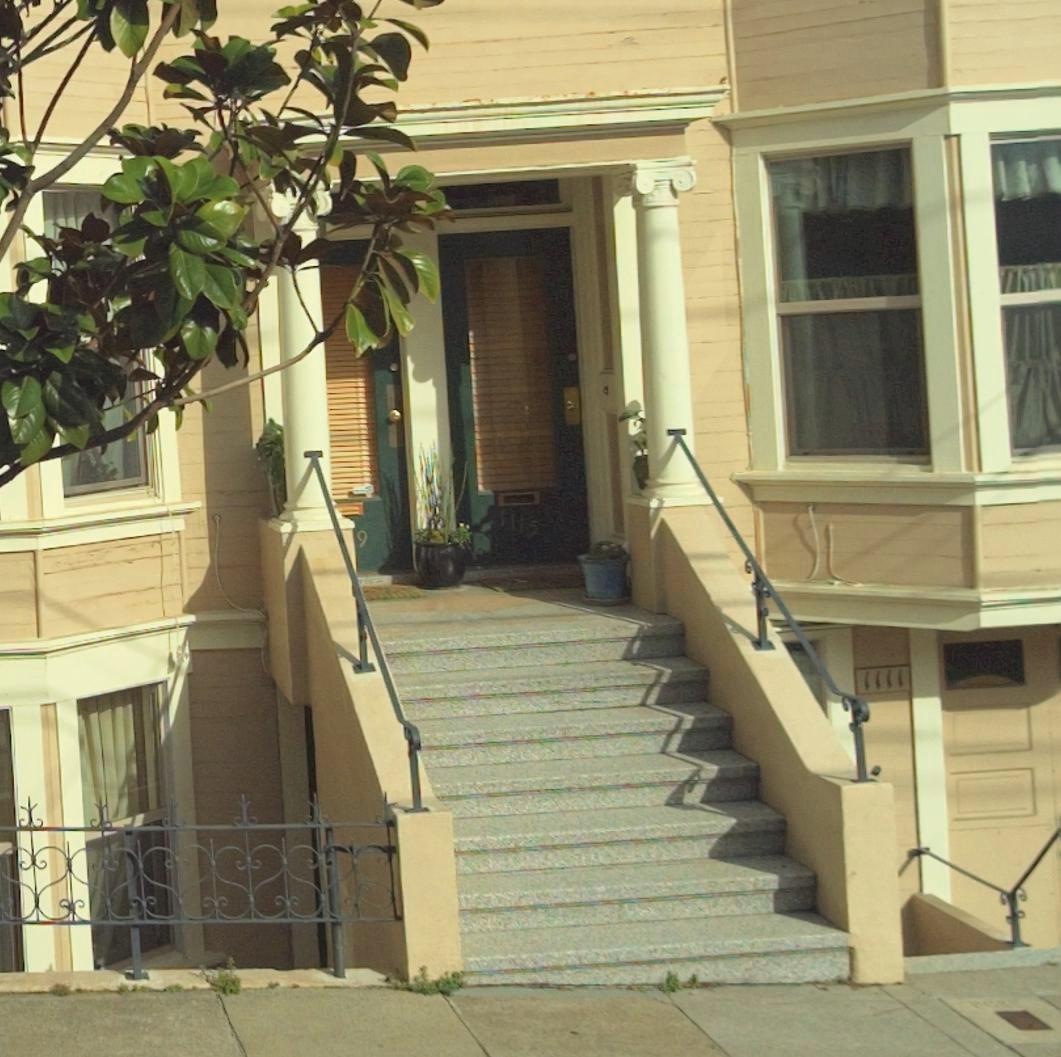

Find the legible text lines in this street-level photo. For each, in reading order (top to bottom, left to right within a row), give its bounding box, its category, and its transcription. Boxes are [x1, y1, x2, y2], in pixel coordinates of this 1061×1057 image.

[499, 508, 539, 540] StreetNumber: 1115
[356, 529, 369, 548] StreetNumber: 9
[863, 668, 905, 691] StreetNumber: 1111